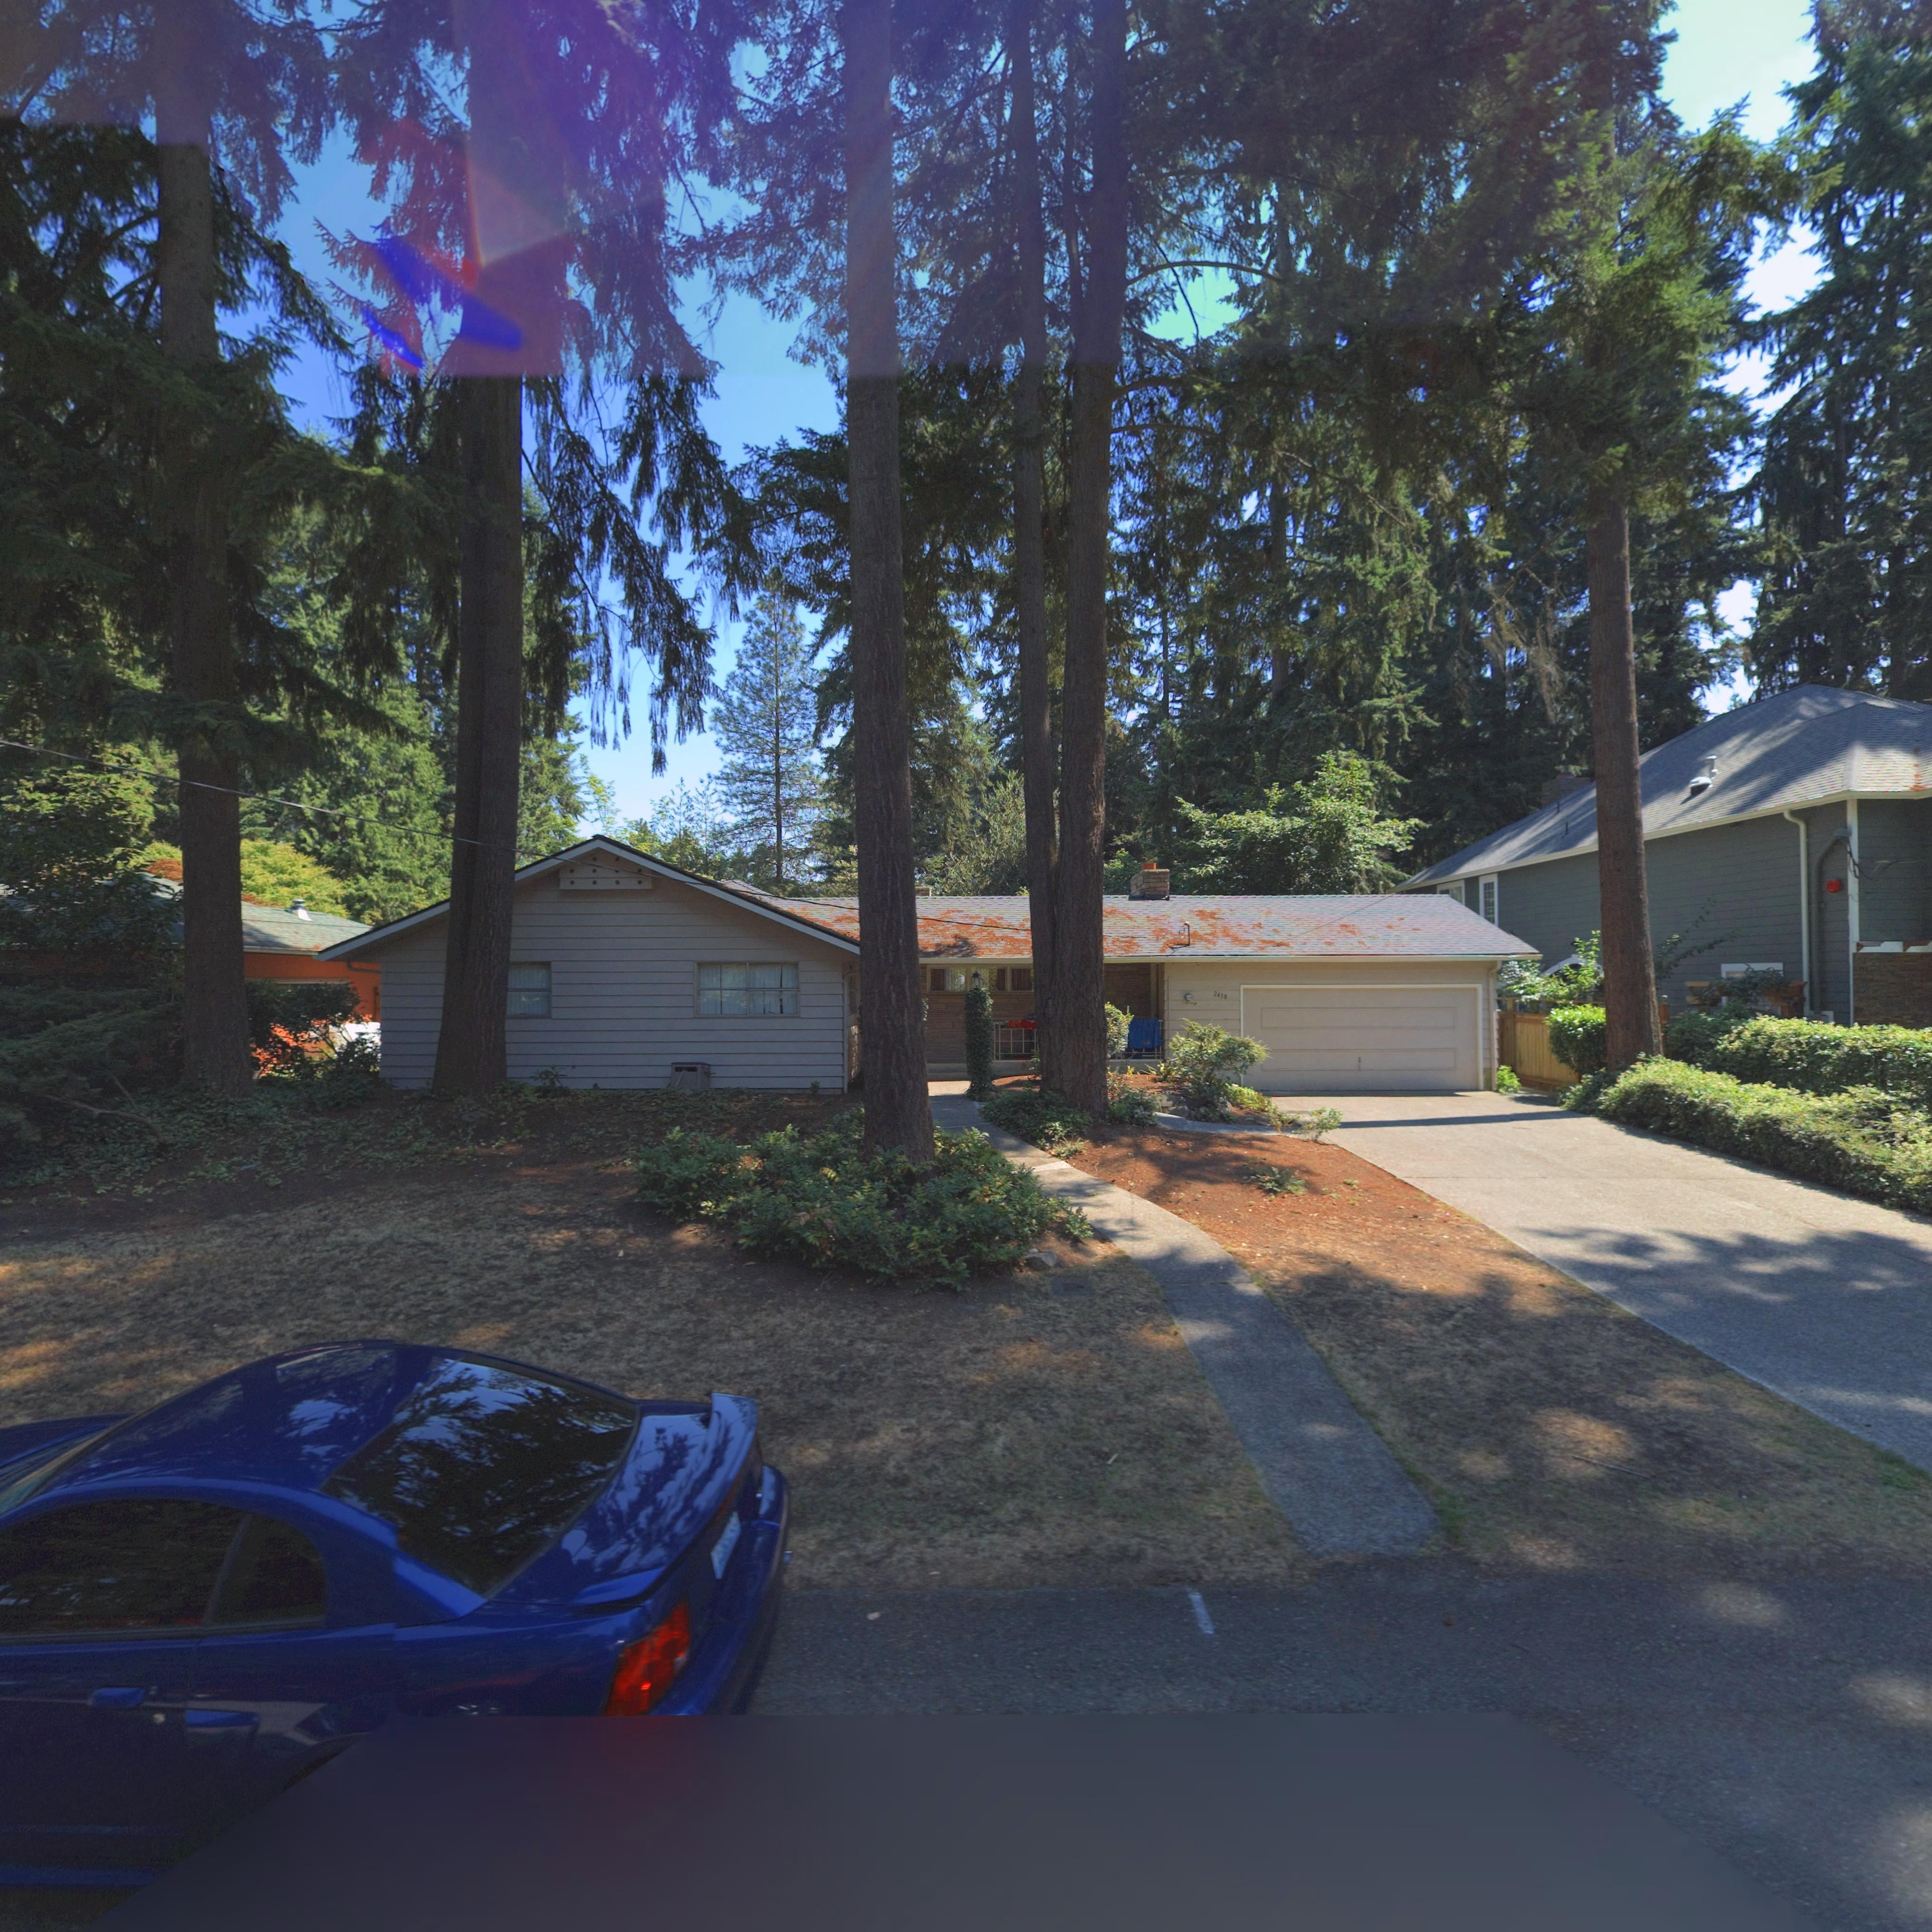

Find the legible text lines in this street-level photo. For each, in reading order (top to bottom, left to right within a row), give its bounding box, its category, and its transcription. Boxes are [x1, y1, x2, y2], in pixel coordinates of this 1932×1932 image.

[1212, 990, 1227, 1000] StreetNumber: 2438